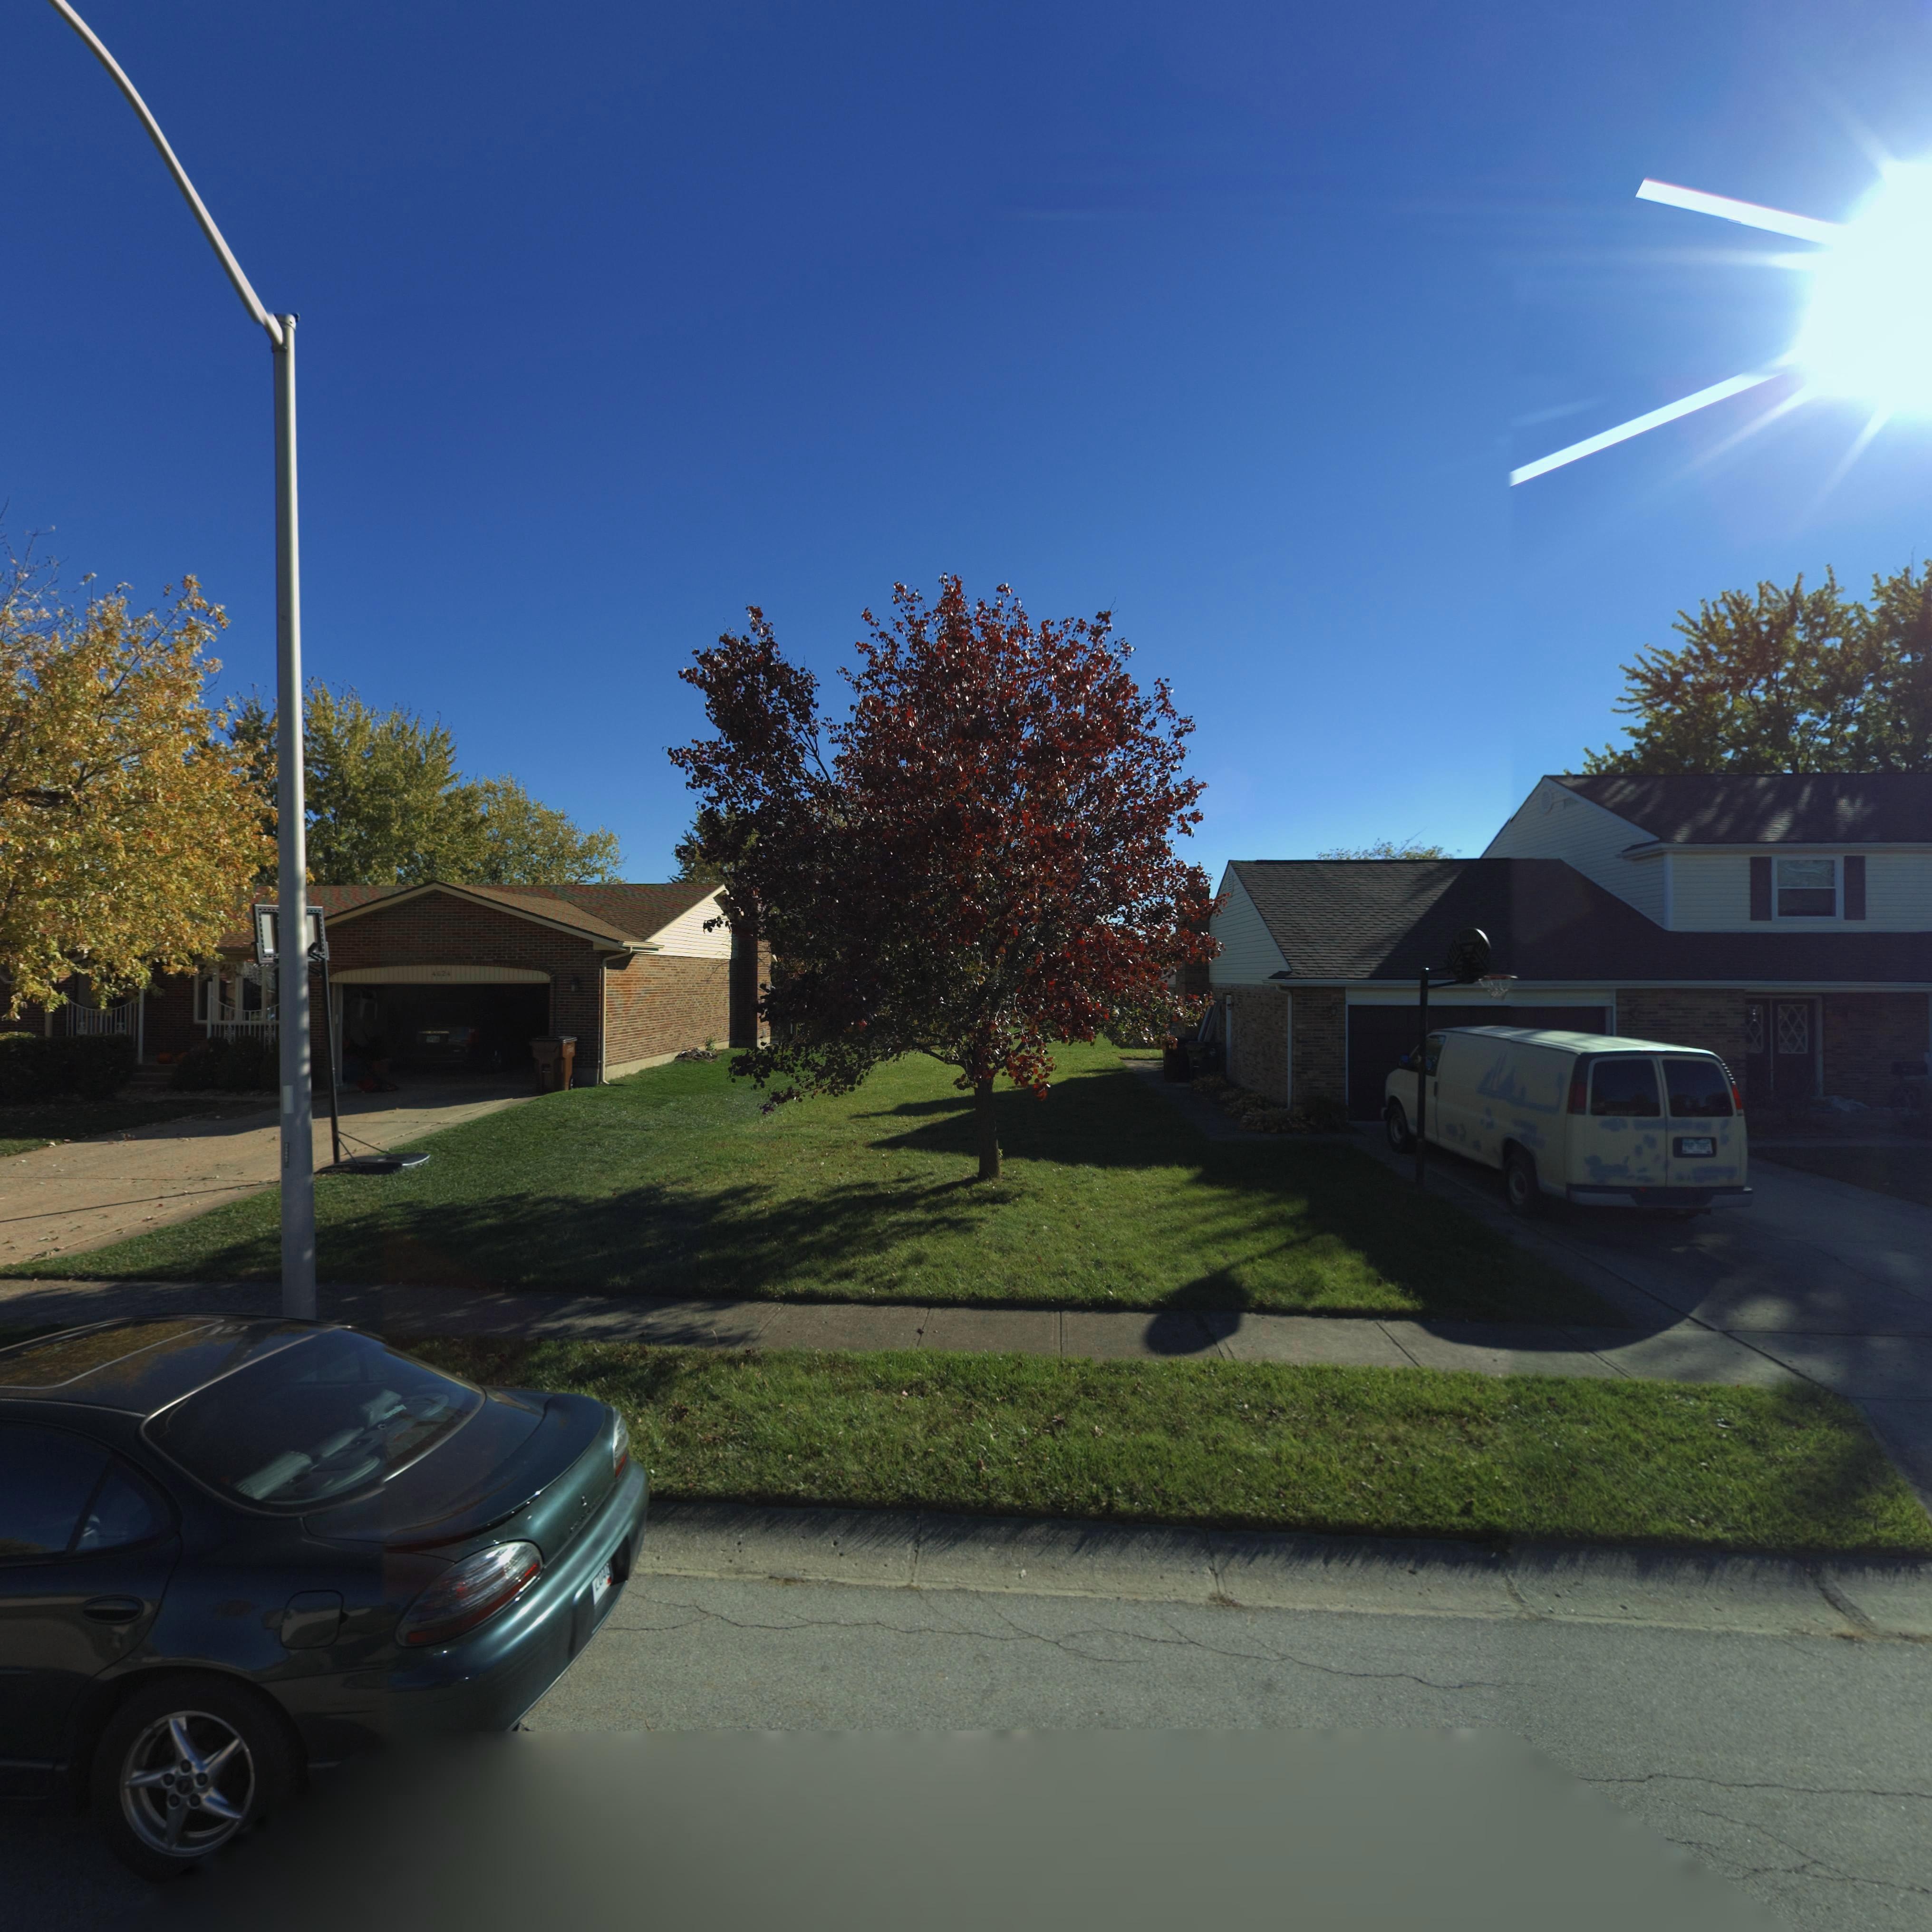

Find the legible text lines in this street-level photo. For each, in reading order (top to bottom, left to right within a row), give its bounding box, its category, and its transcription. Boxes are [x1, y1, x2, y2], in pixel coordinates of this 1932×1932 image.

[431, 970, 451, 977] StreetNumber: 4624